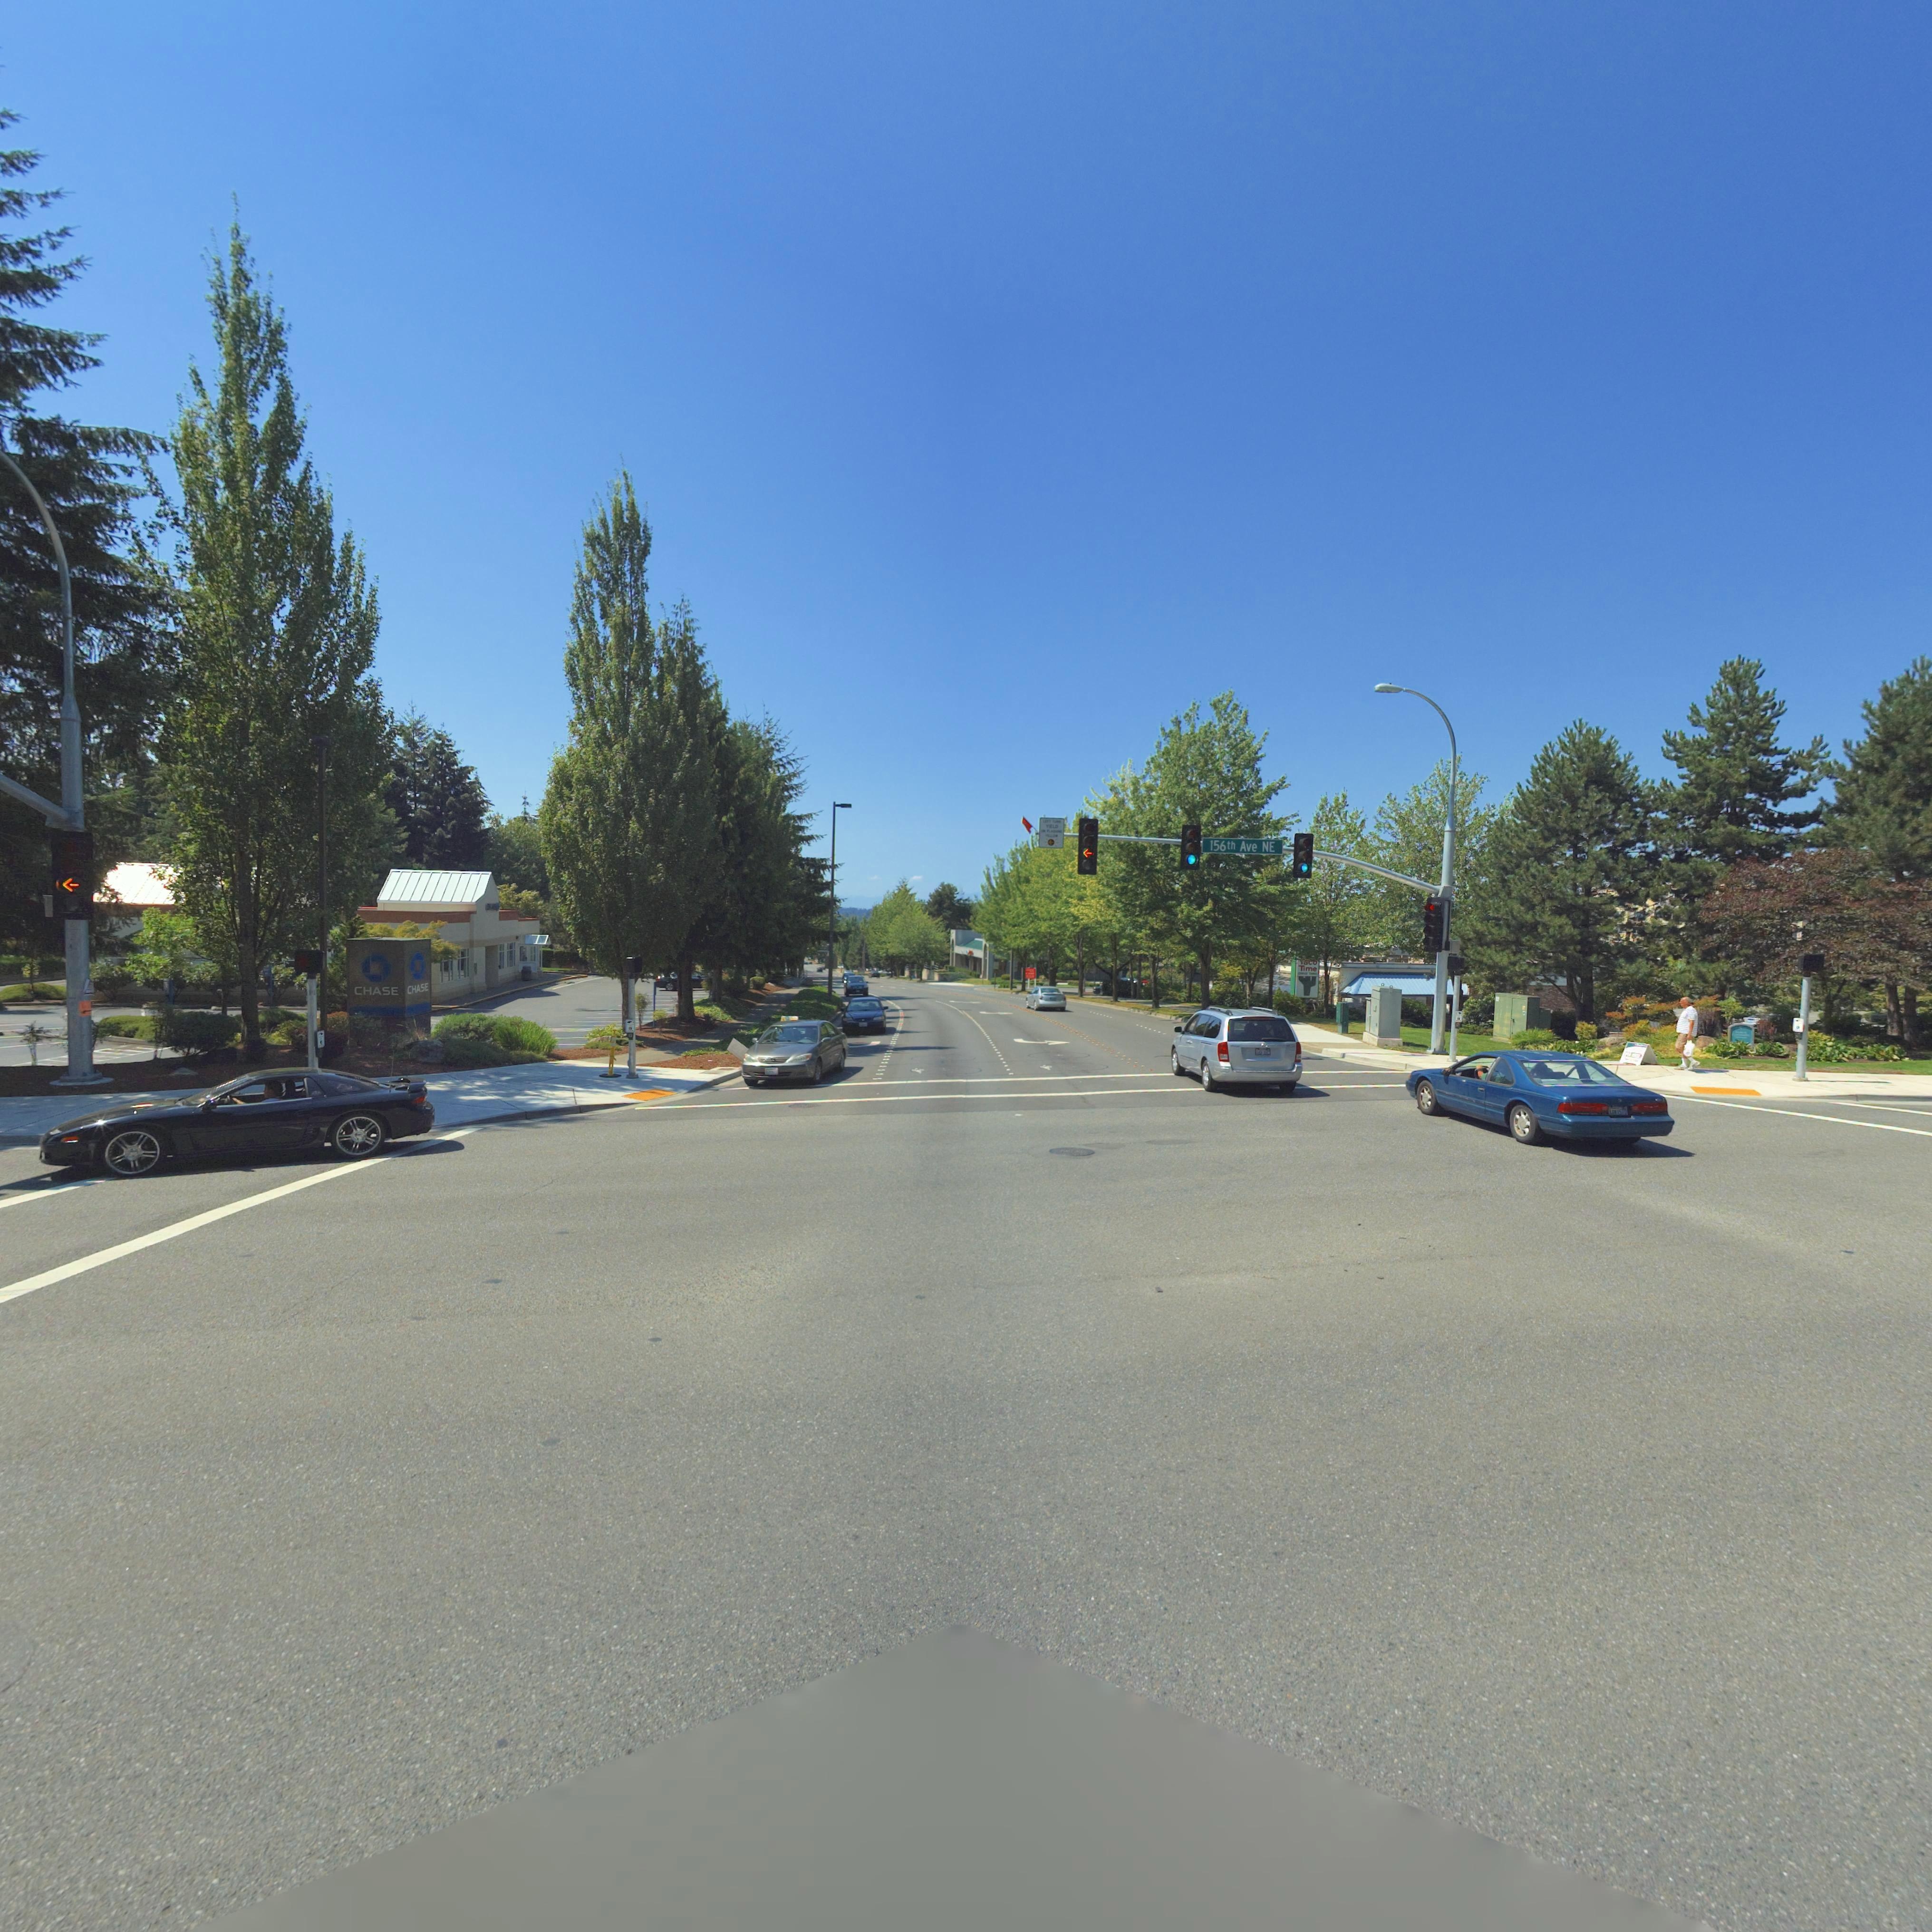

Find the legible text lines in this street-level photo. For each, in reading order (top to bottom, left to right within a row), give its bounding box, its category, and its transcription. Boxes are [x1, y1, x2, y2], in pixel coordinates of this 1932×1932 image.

[1209, 839, 1275, 853] BusinessName: 156th Ave NE
[1300, 960, 1317, 965] BusinessName: *co
[1298, 965, 1318, 972] BusinessName: Time
[353, 986, 398, 996] BusinessName: CHASE
[406, 982, 429, 996] BusinessName: CHASE